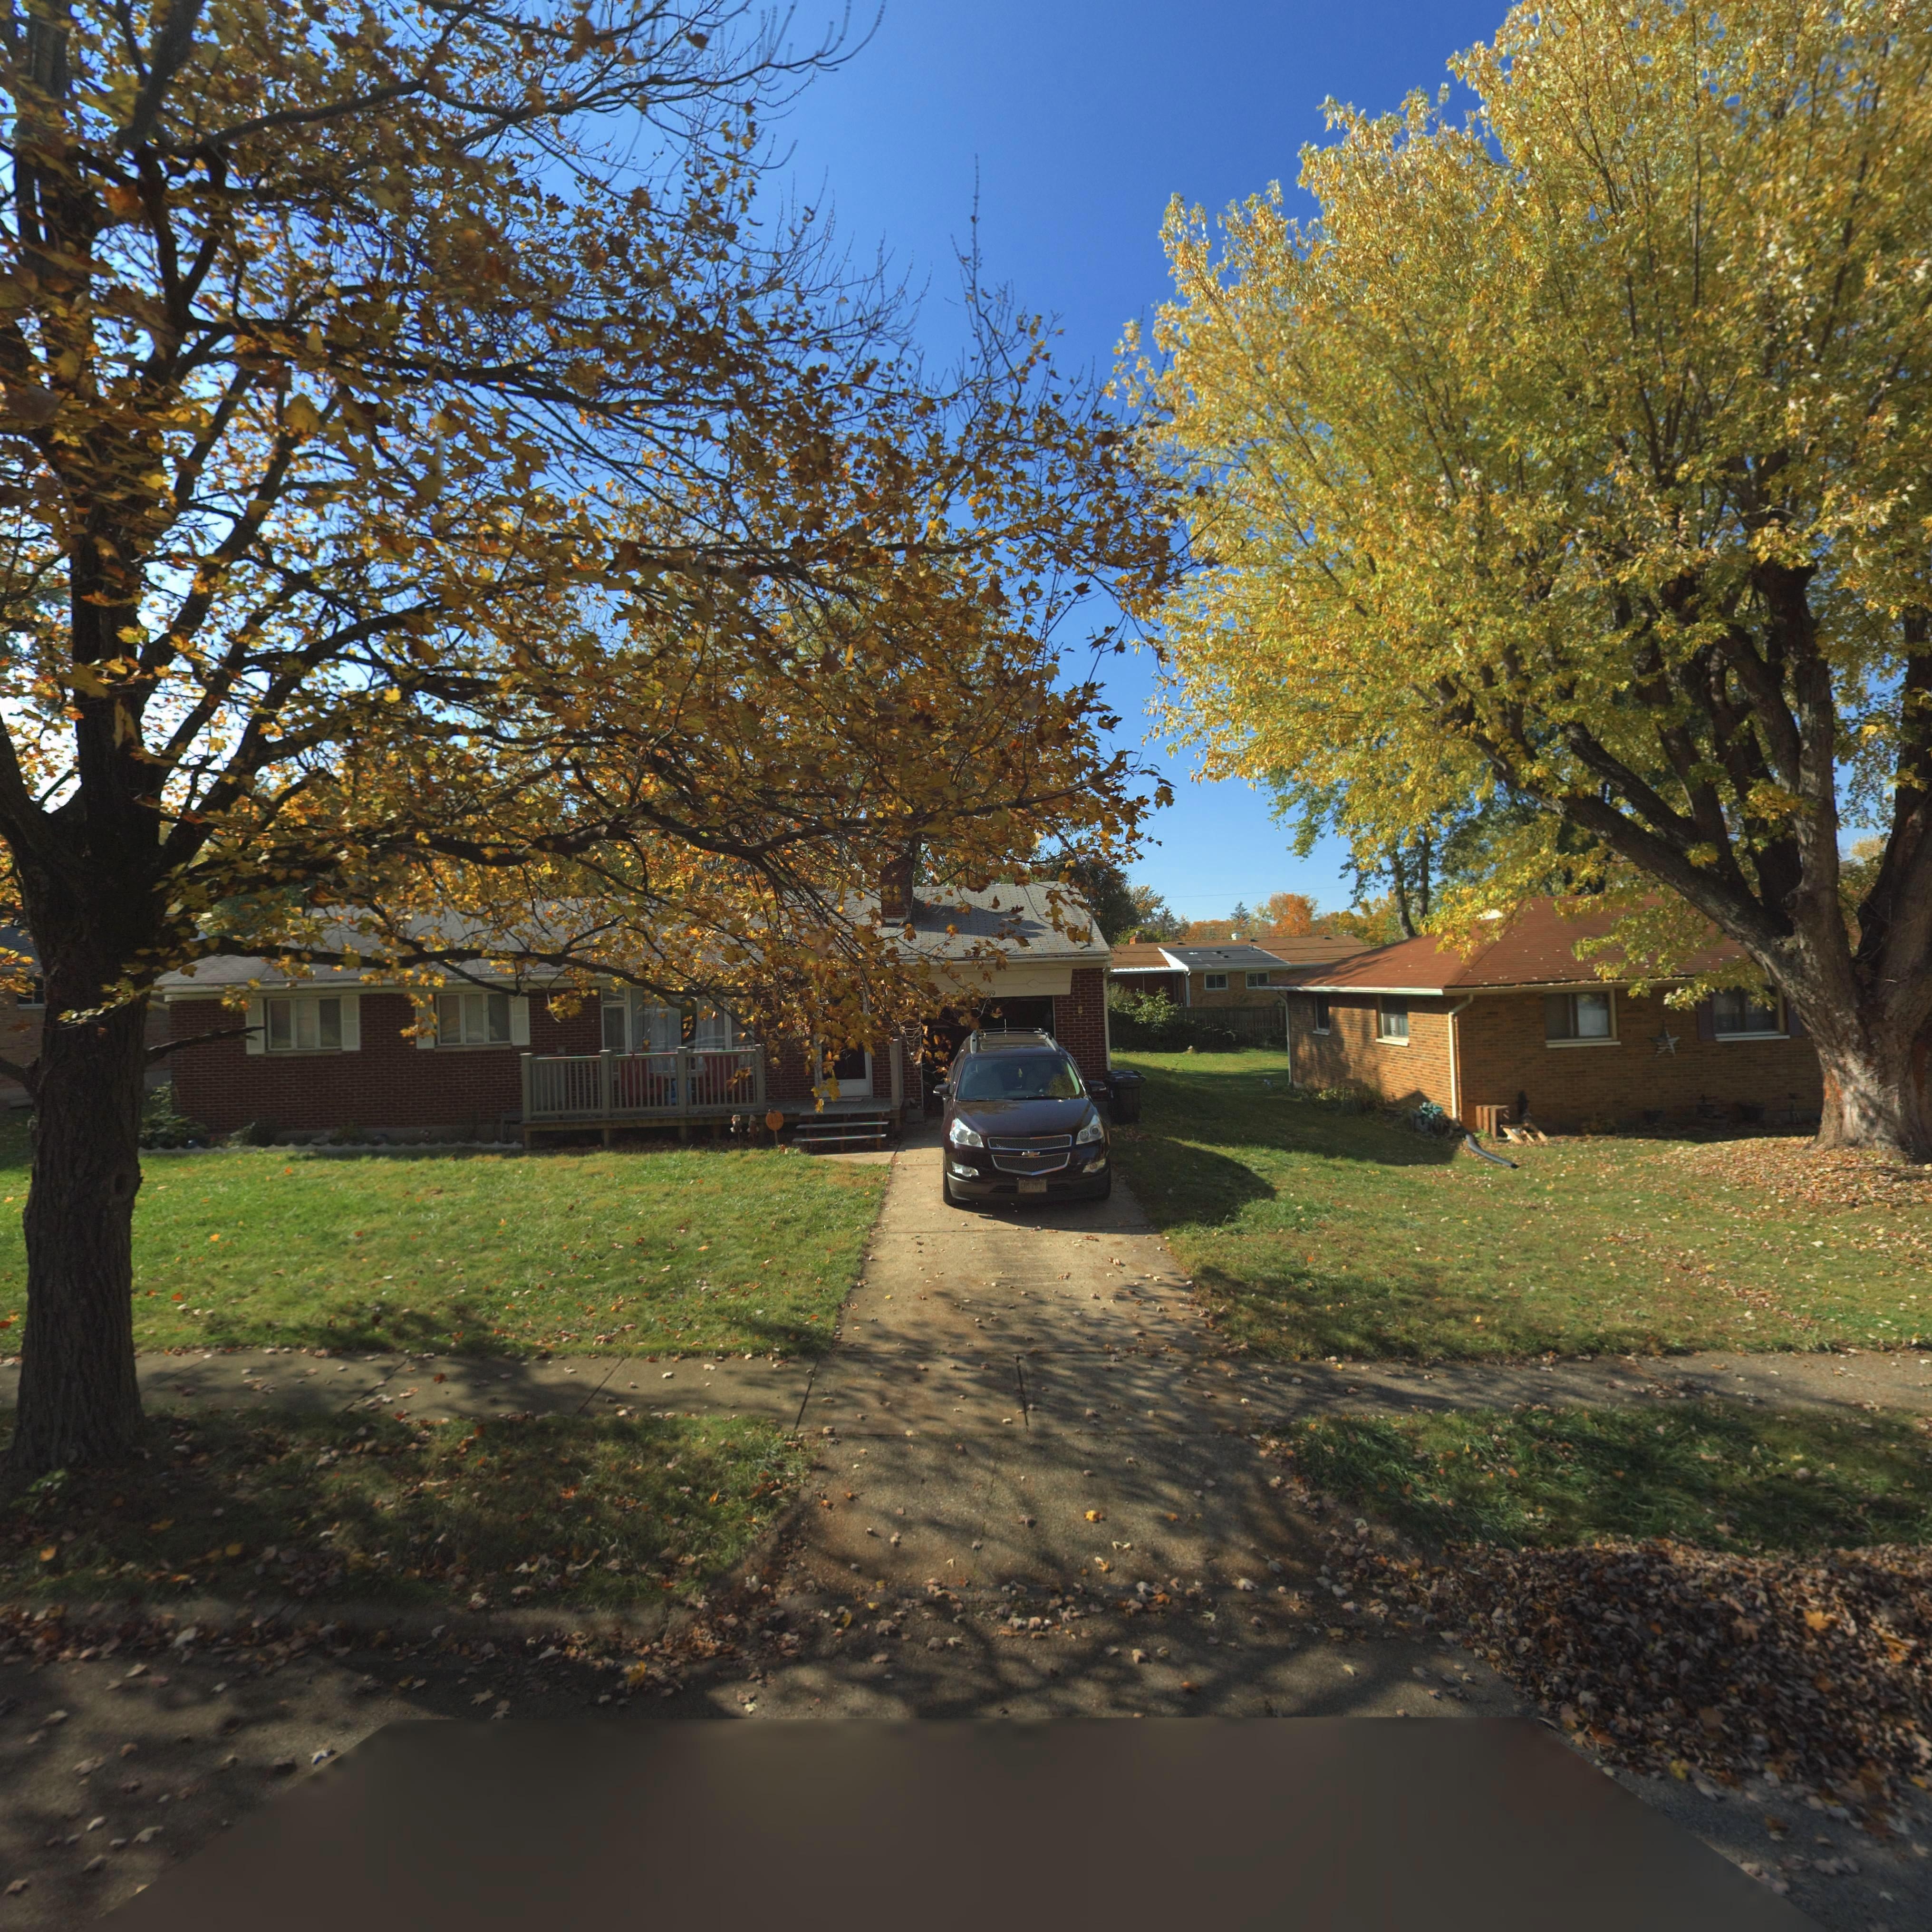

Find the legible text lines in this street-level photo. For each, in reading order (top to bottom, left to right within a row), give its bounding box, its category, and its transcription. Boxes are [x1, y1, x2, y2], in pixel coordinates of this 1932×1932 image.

[986, 990, 996, 997] StreetNumber: 59
[1019, 1181, 1045, 1190] None: G*S 2830